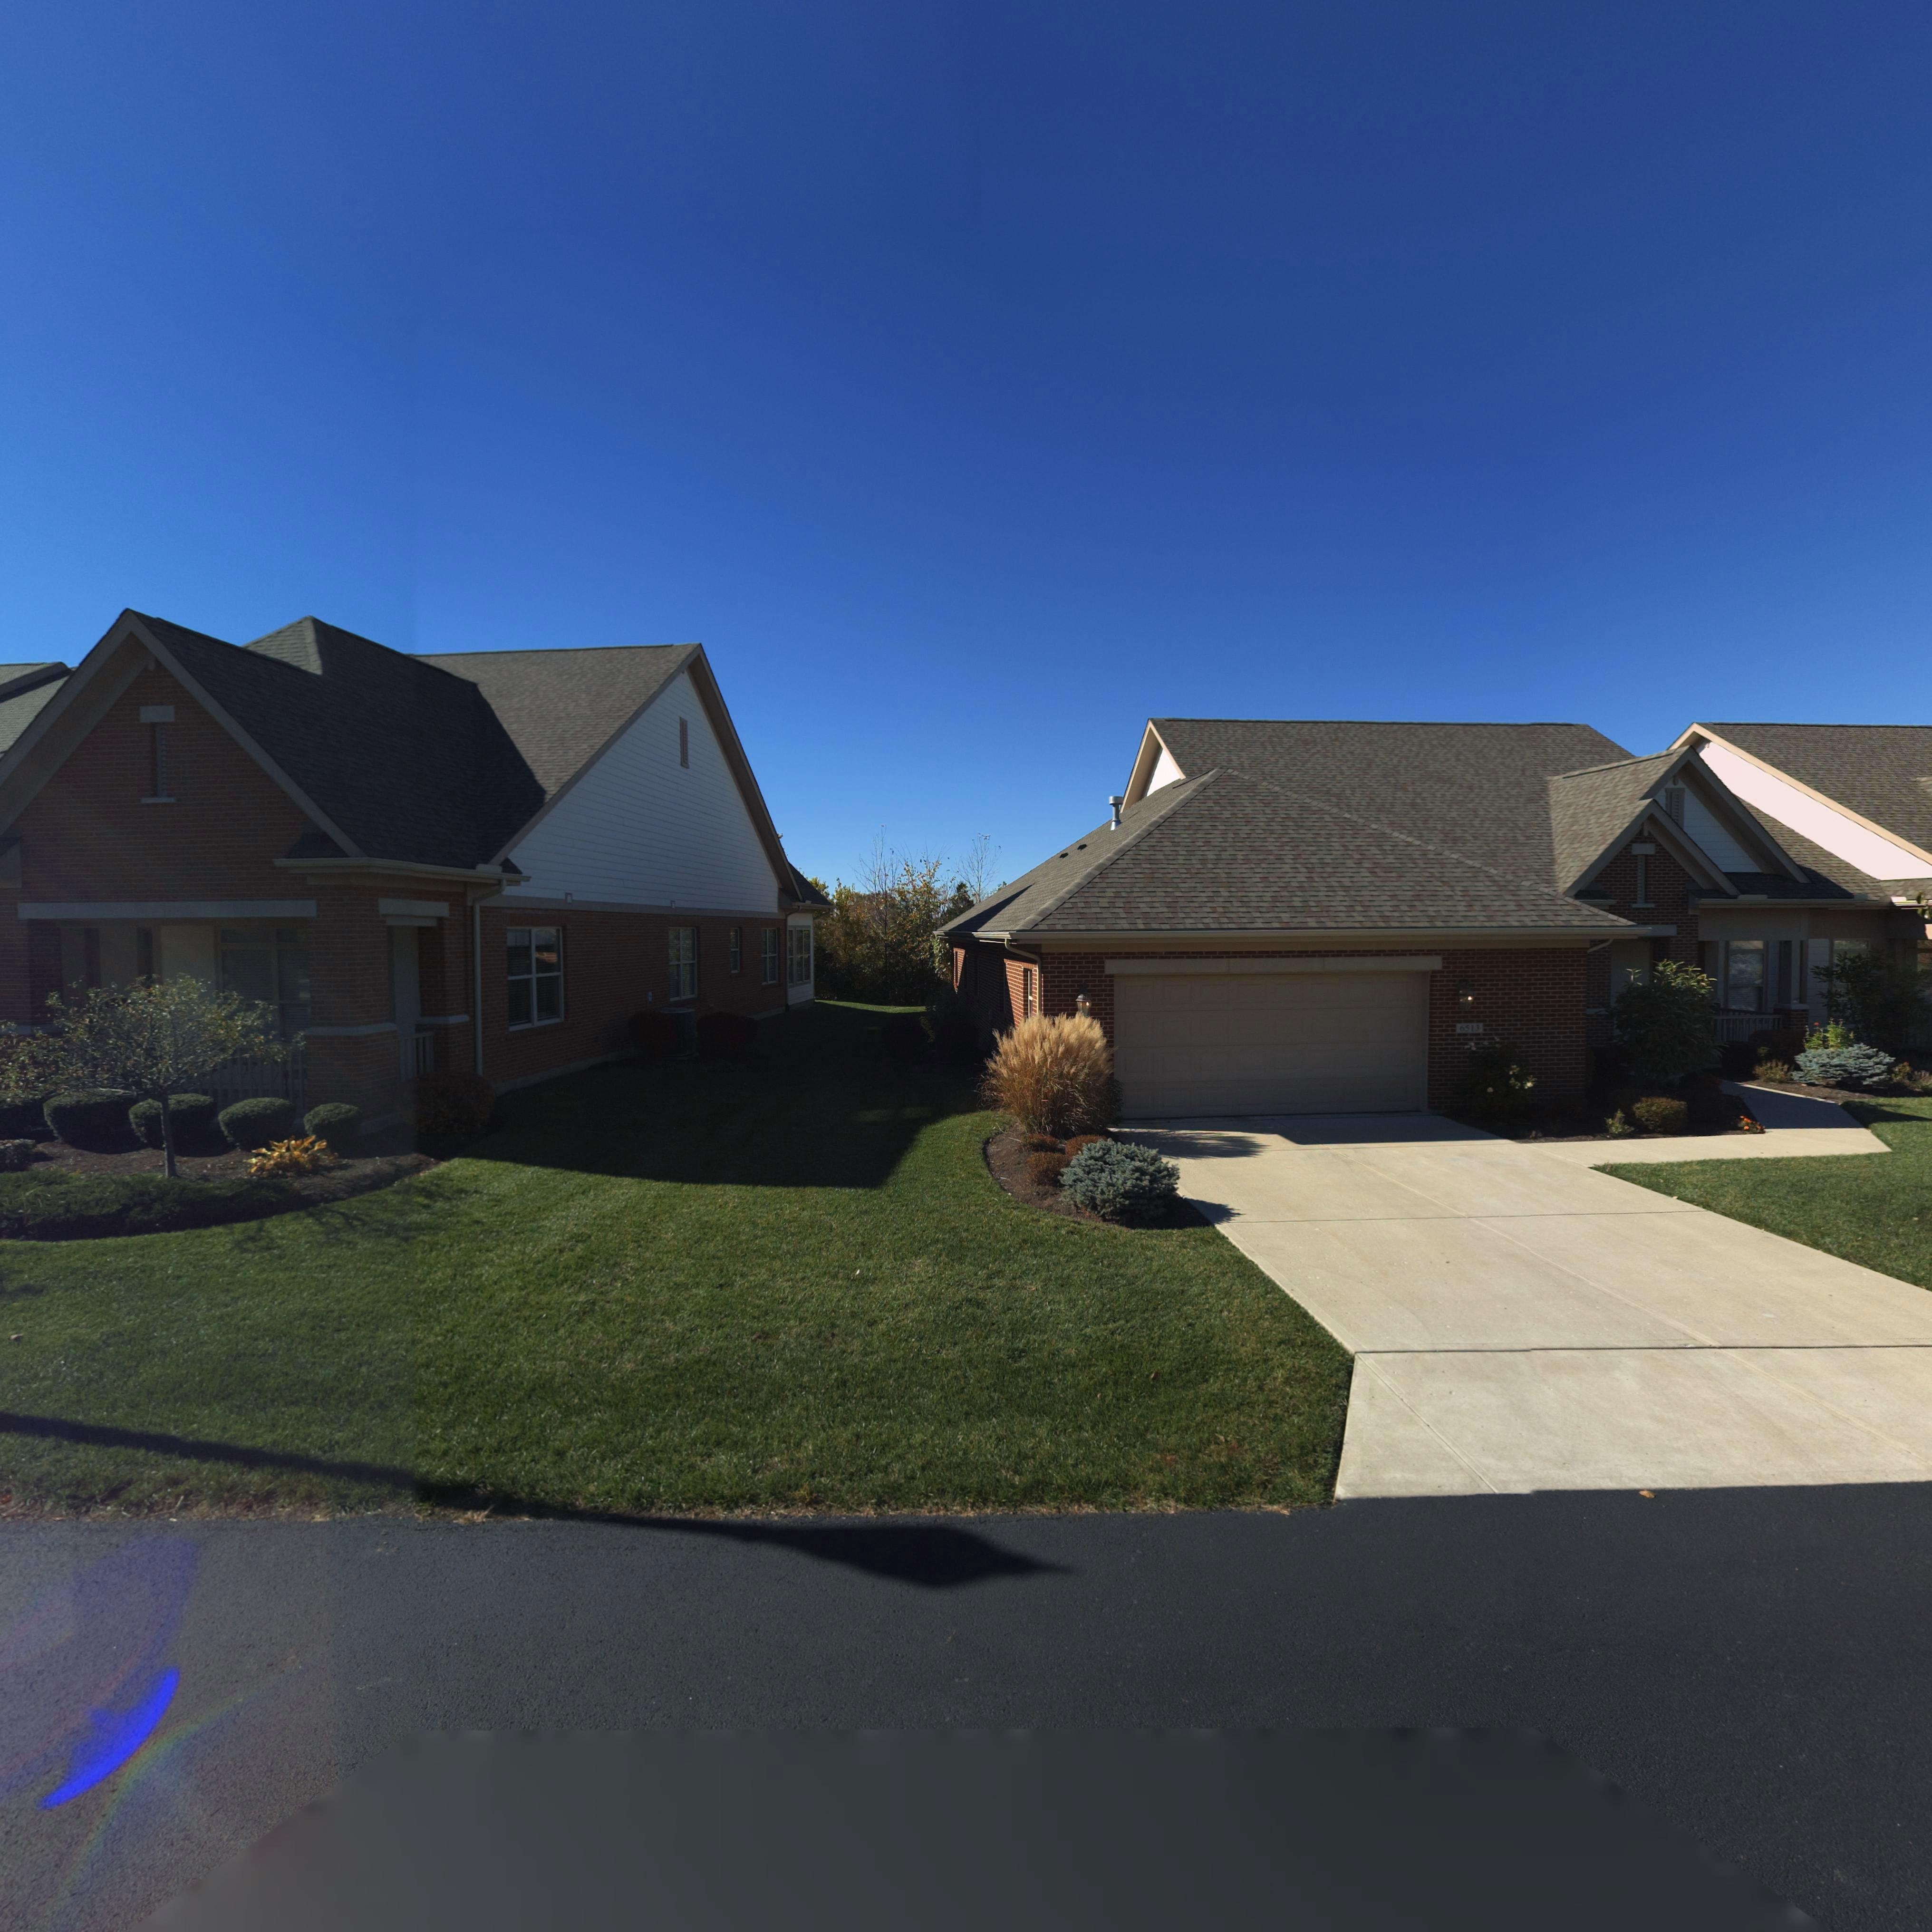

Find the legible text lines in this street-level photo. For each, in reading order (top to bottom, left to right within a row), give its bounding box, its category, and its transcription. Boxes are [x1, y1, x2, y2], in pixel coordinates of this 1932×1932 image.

[1459, 1024, 1480, 1033] StreetNumber: 6513